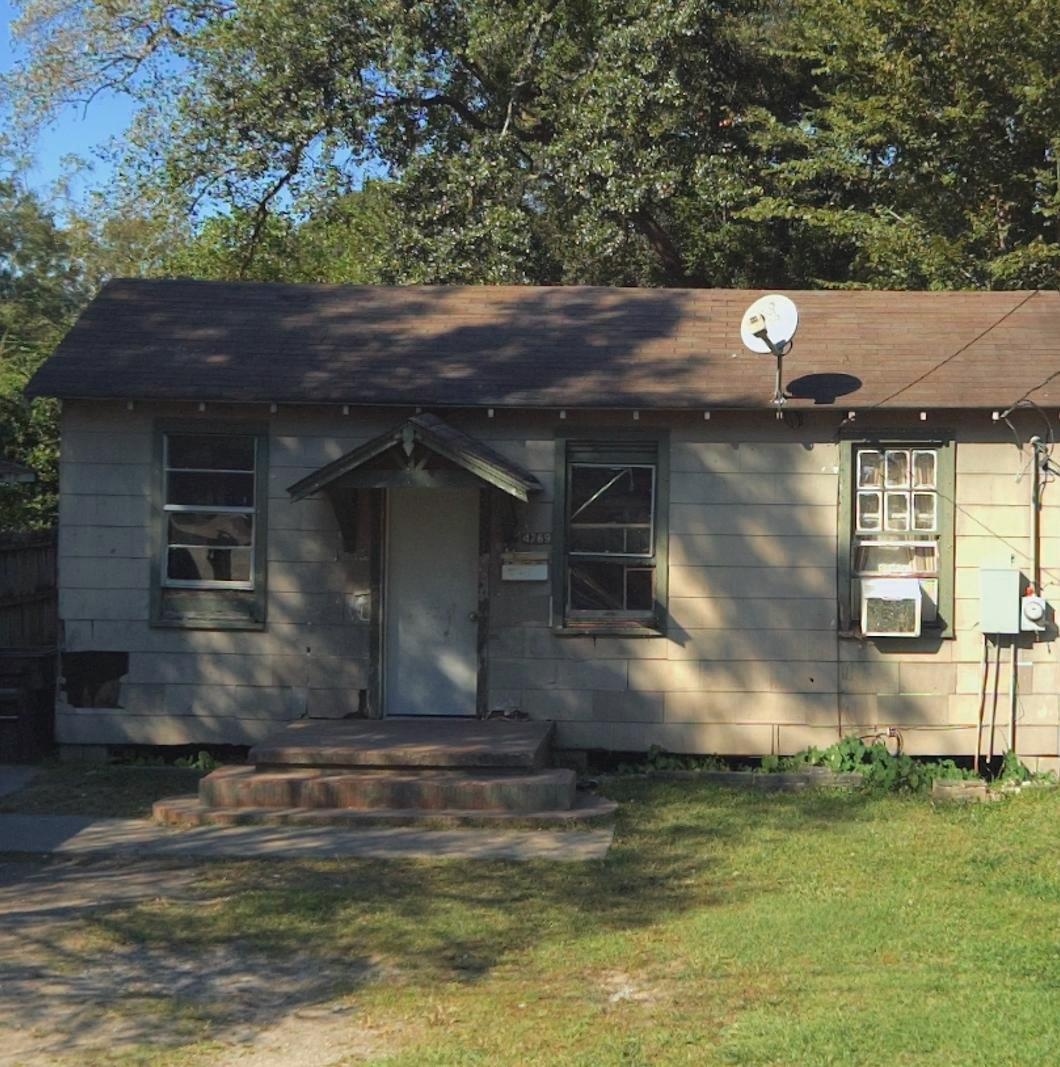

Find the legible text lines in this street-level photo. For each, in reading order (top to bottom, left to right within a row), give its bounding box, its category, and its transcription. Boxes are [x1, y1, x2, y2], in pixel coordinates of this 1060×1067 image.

[521, 532, 551, 544] StreetNumber: 4769